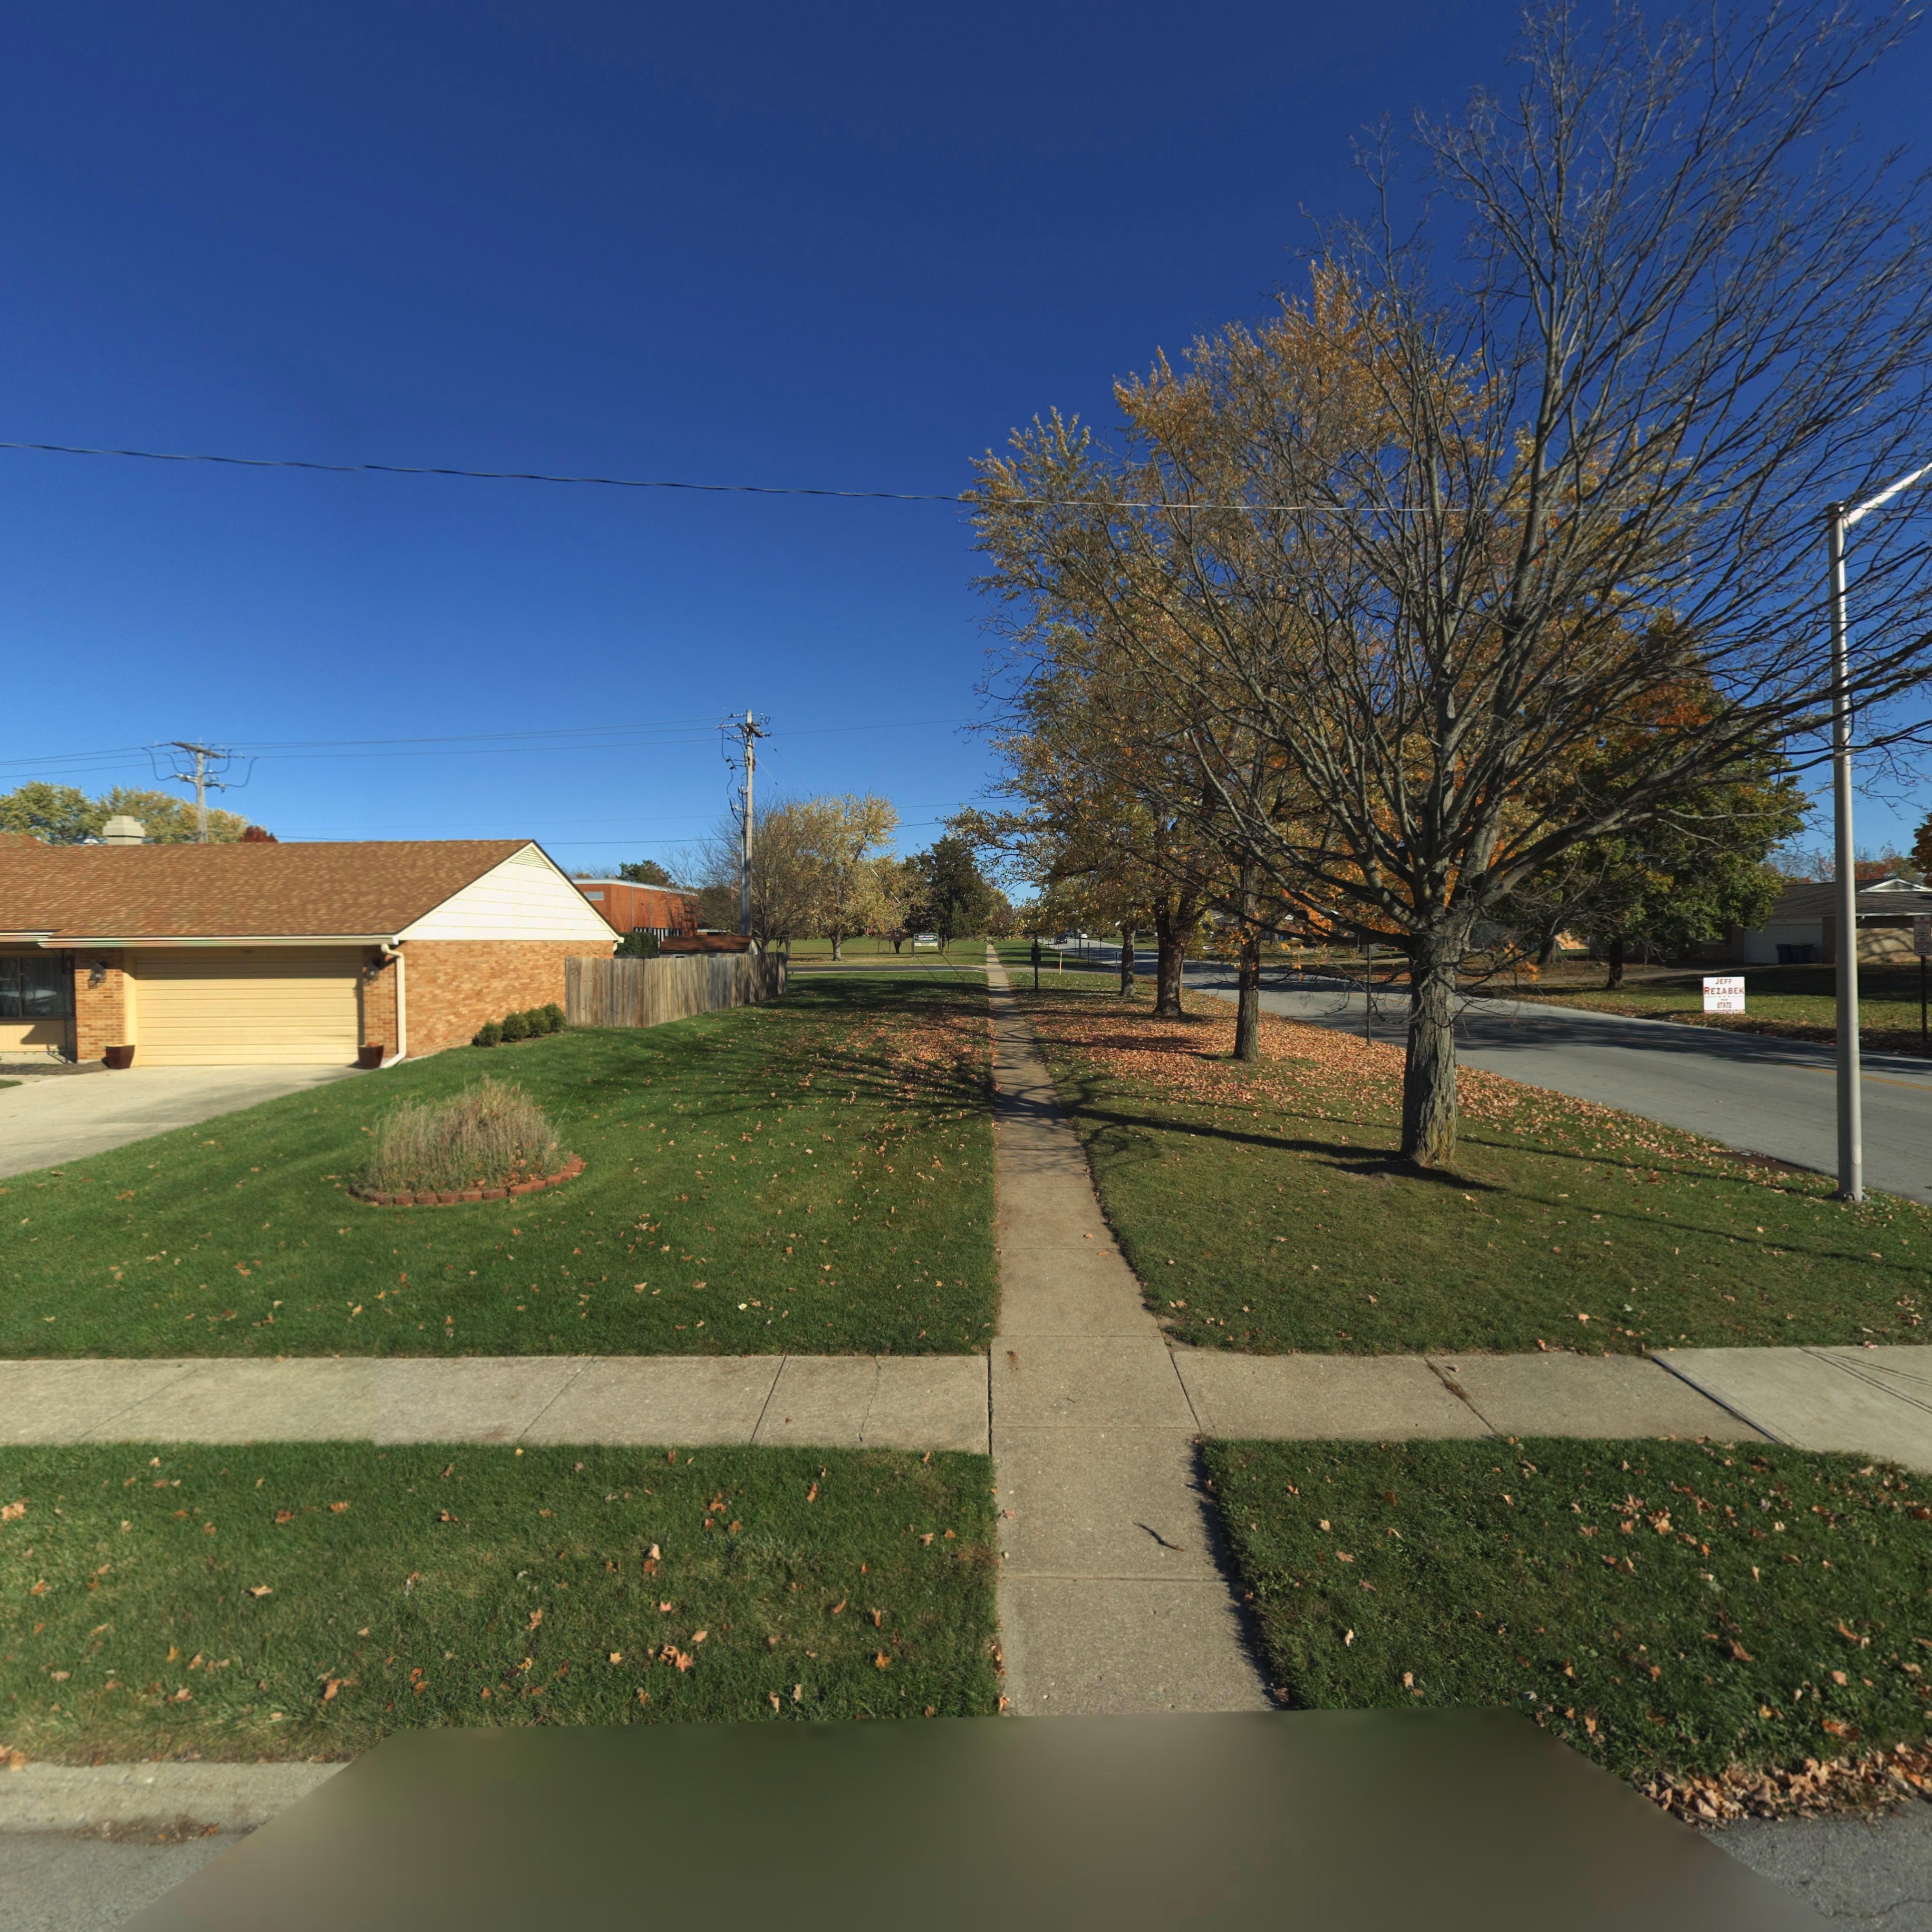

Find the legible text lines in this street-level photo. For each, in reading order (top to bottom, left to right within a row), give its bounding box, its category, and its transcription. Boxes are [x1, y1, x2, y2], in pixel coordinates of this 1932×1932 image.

[239, 947, 253, 954] StreetNumber: 7***
[1715, 977, 1733, 985] None: JEFF
[1703, 986, 1745, 995] None: REZABEK
[1717, 1002, 1732, 1008] None: STATE